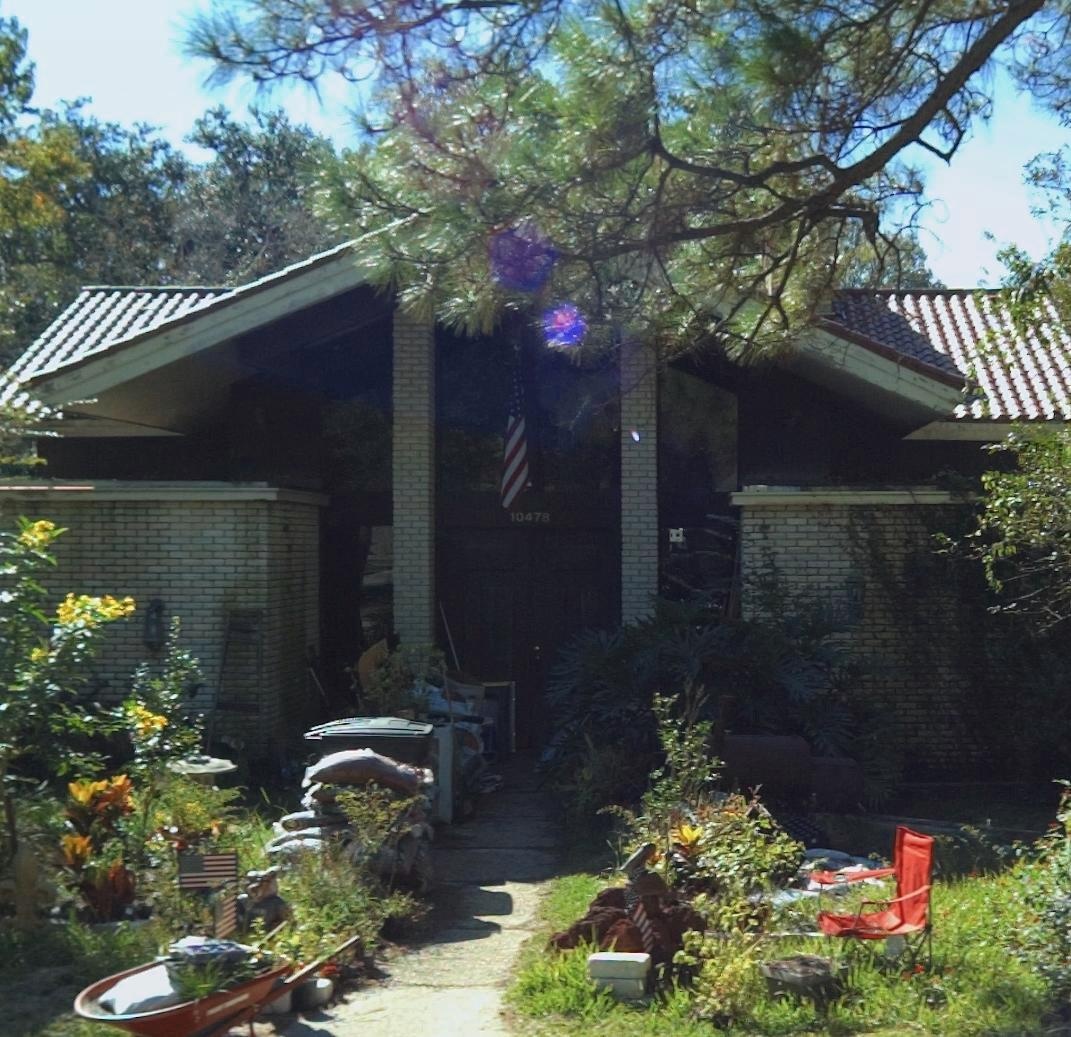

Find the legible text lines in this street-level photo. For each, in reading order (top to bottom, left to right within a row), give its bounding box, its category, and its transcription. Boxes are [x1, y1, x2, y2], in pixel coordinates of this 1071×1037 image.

[507, 510, 552, 525] StreetNumber: 10478